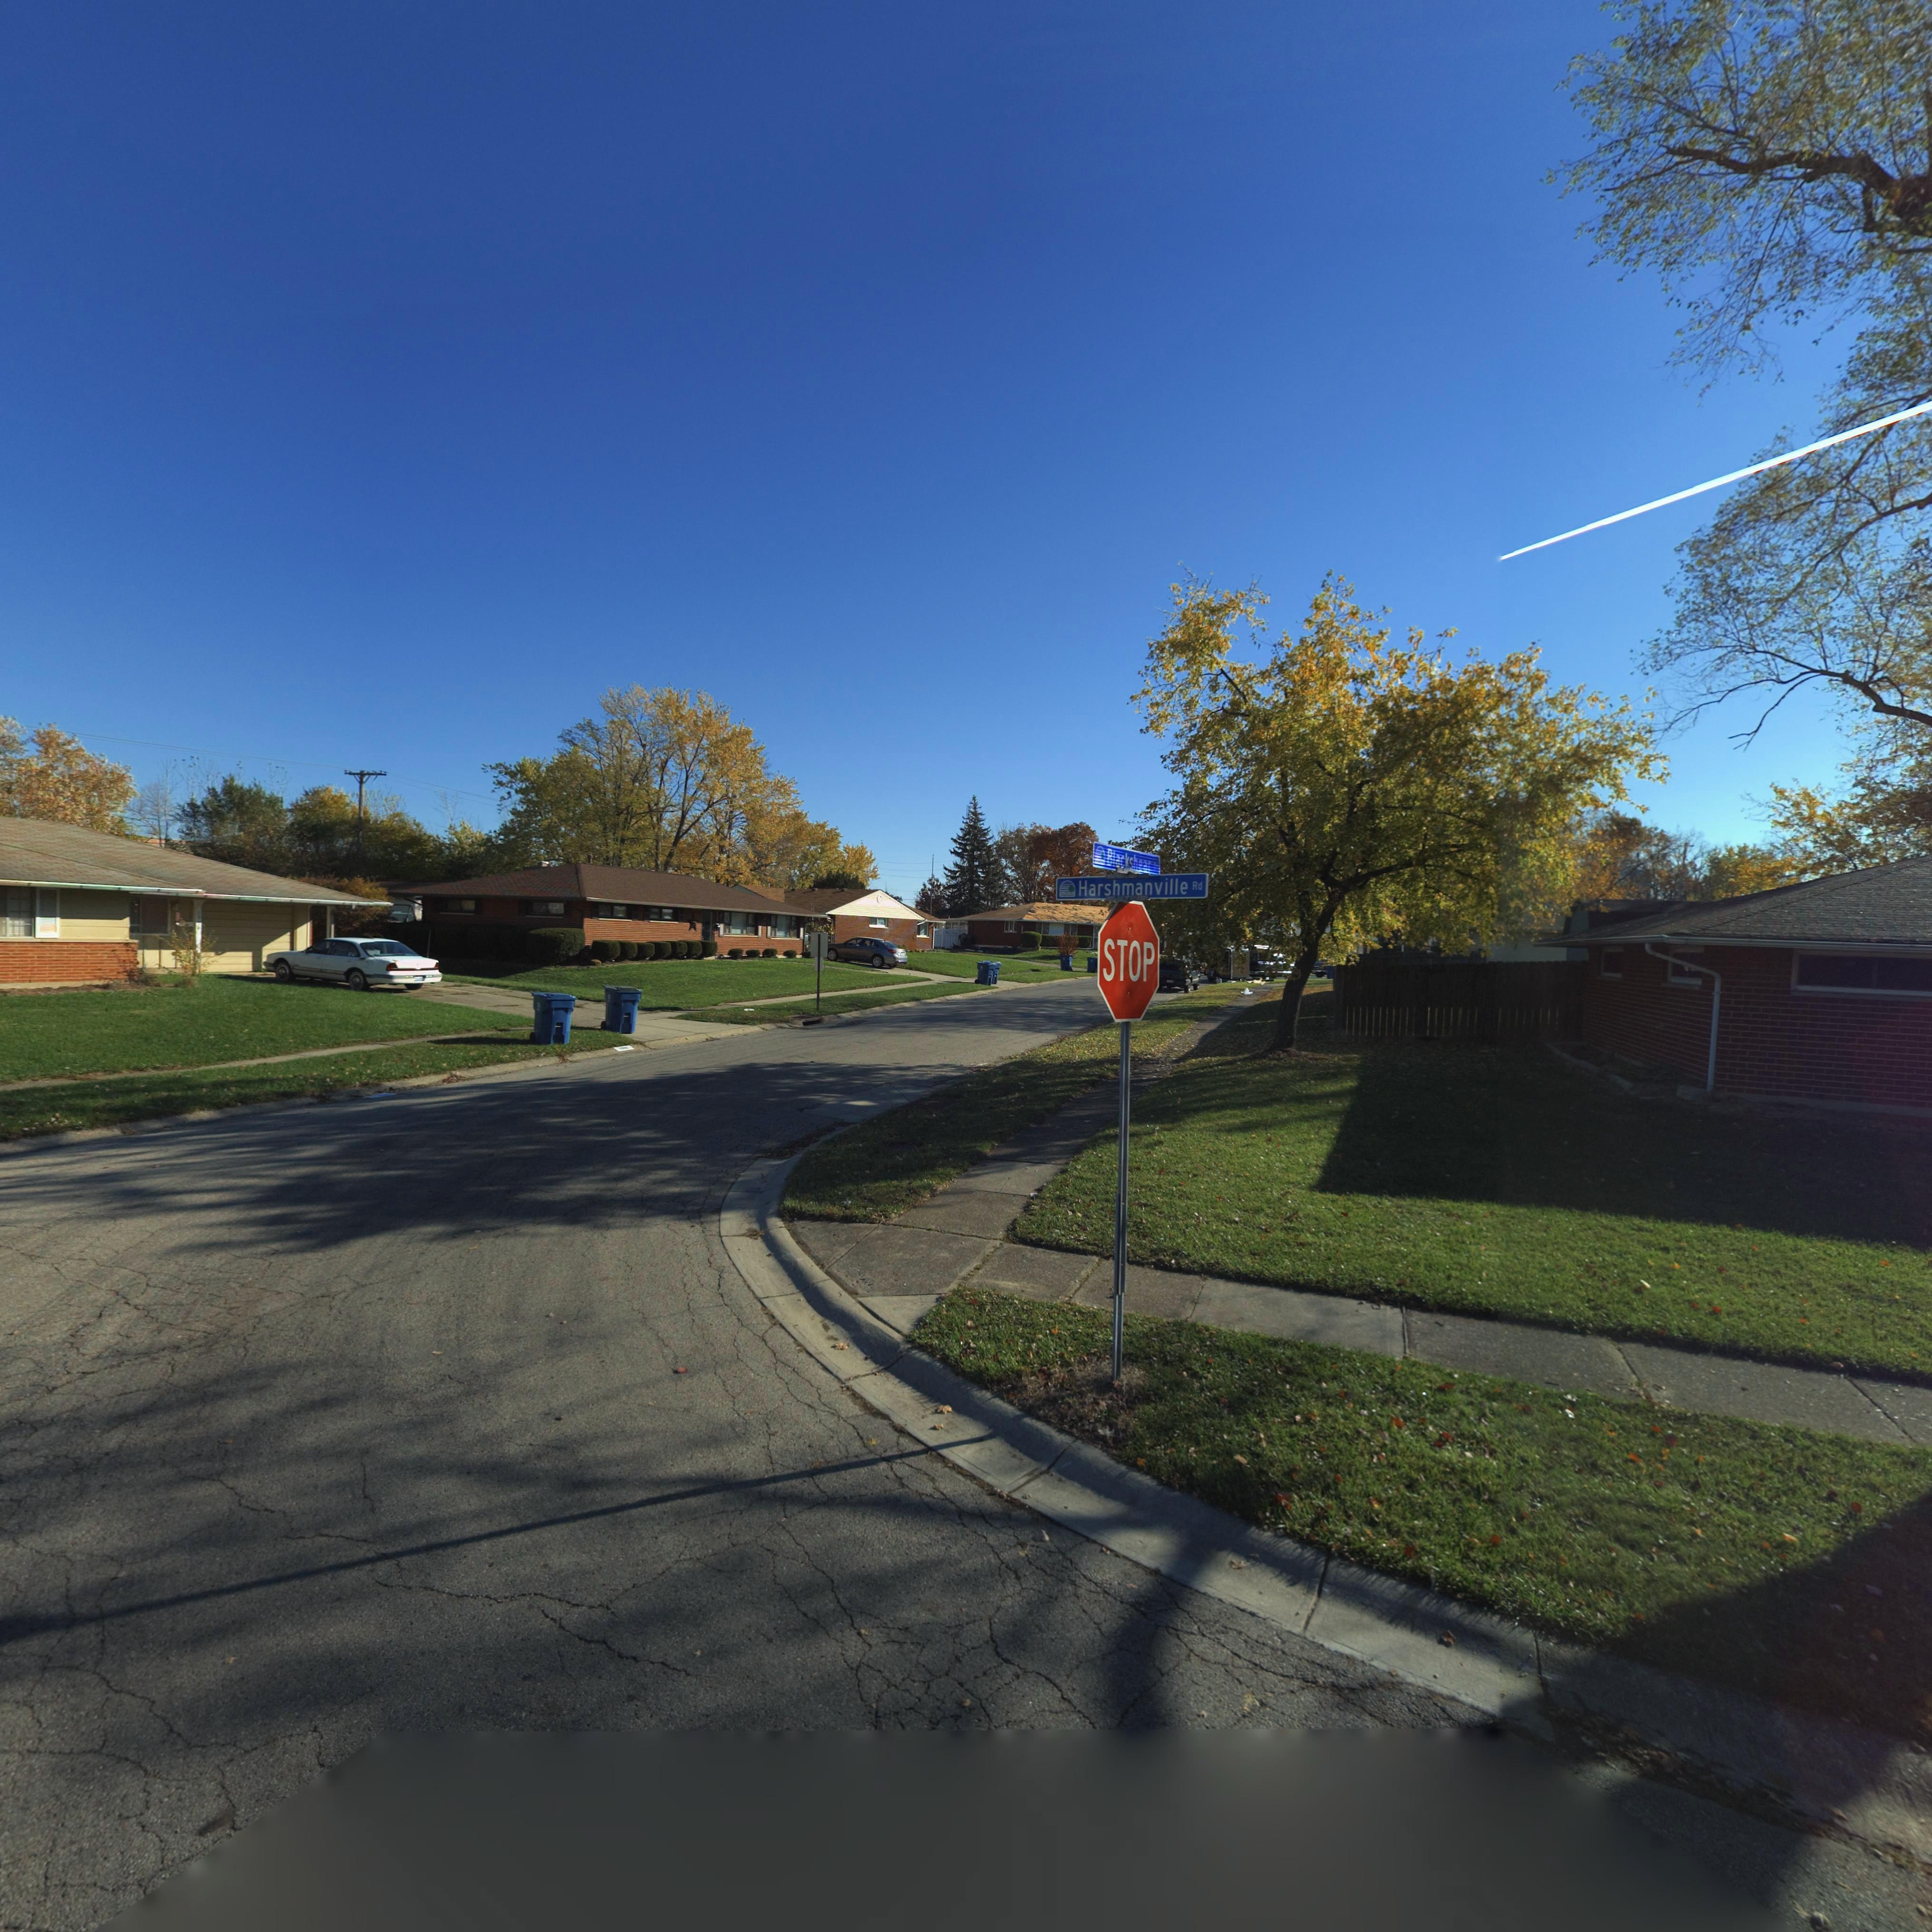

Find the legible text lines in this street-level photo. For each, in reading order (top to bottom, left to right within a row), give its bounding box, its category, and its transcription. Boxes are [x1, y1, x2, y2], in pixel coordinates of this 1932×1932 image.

[196, 910, 201, 930] StreetNumber: 79**